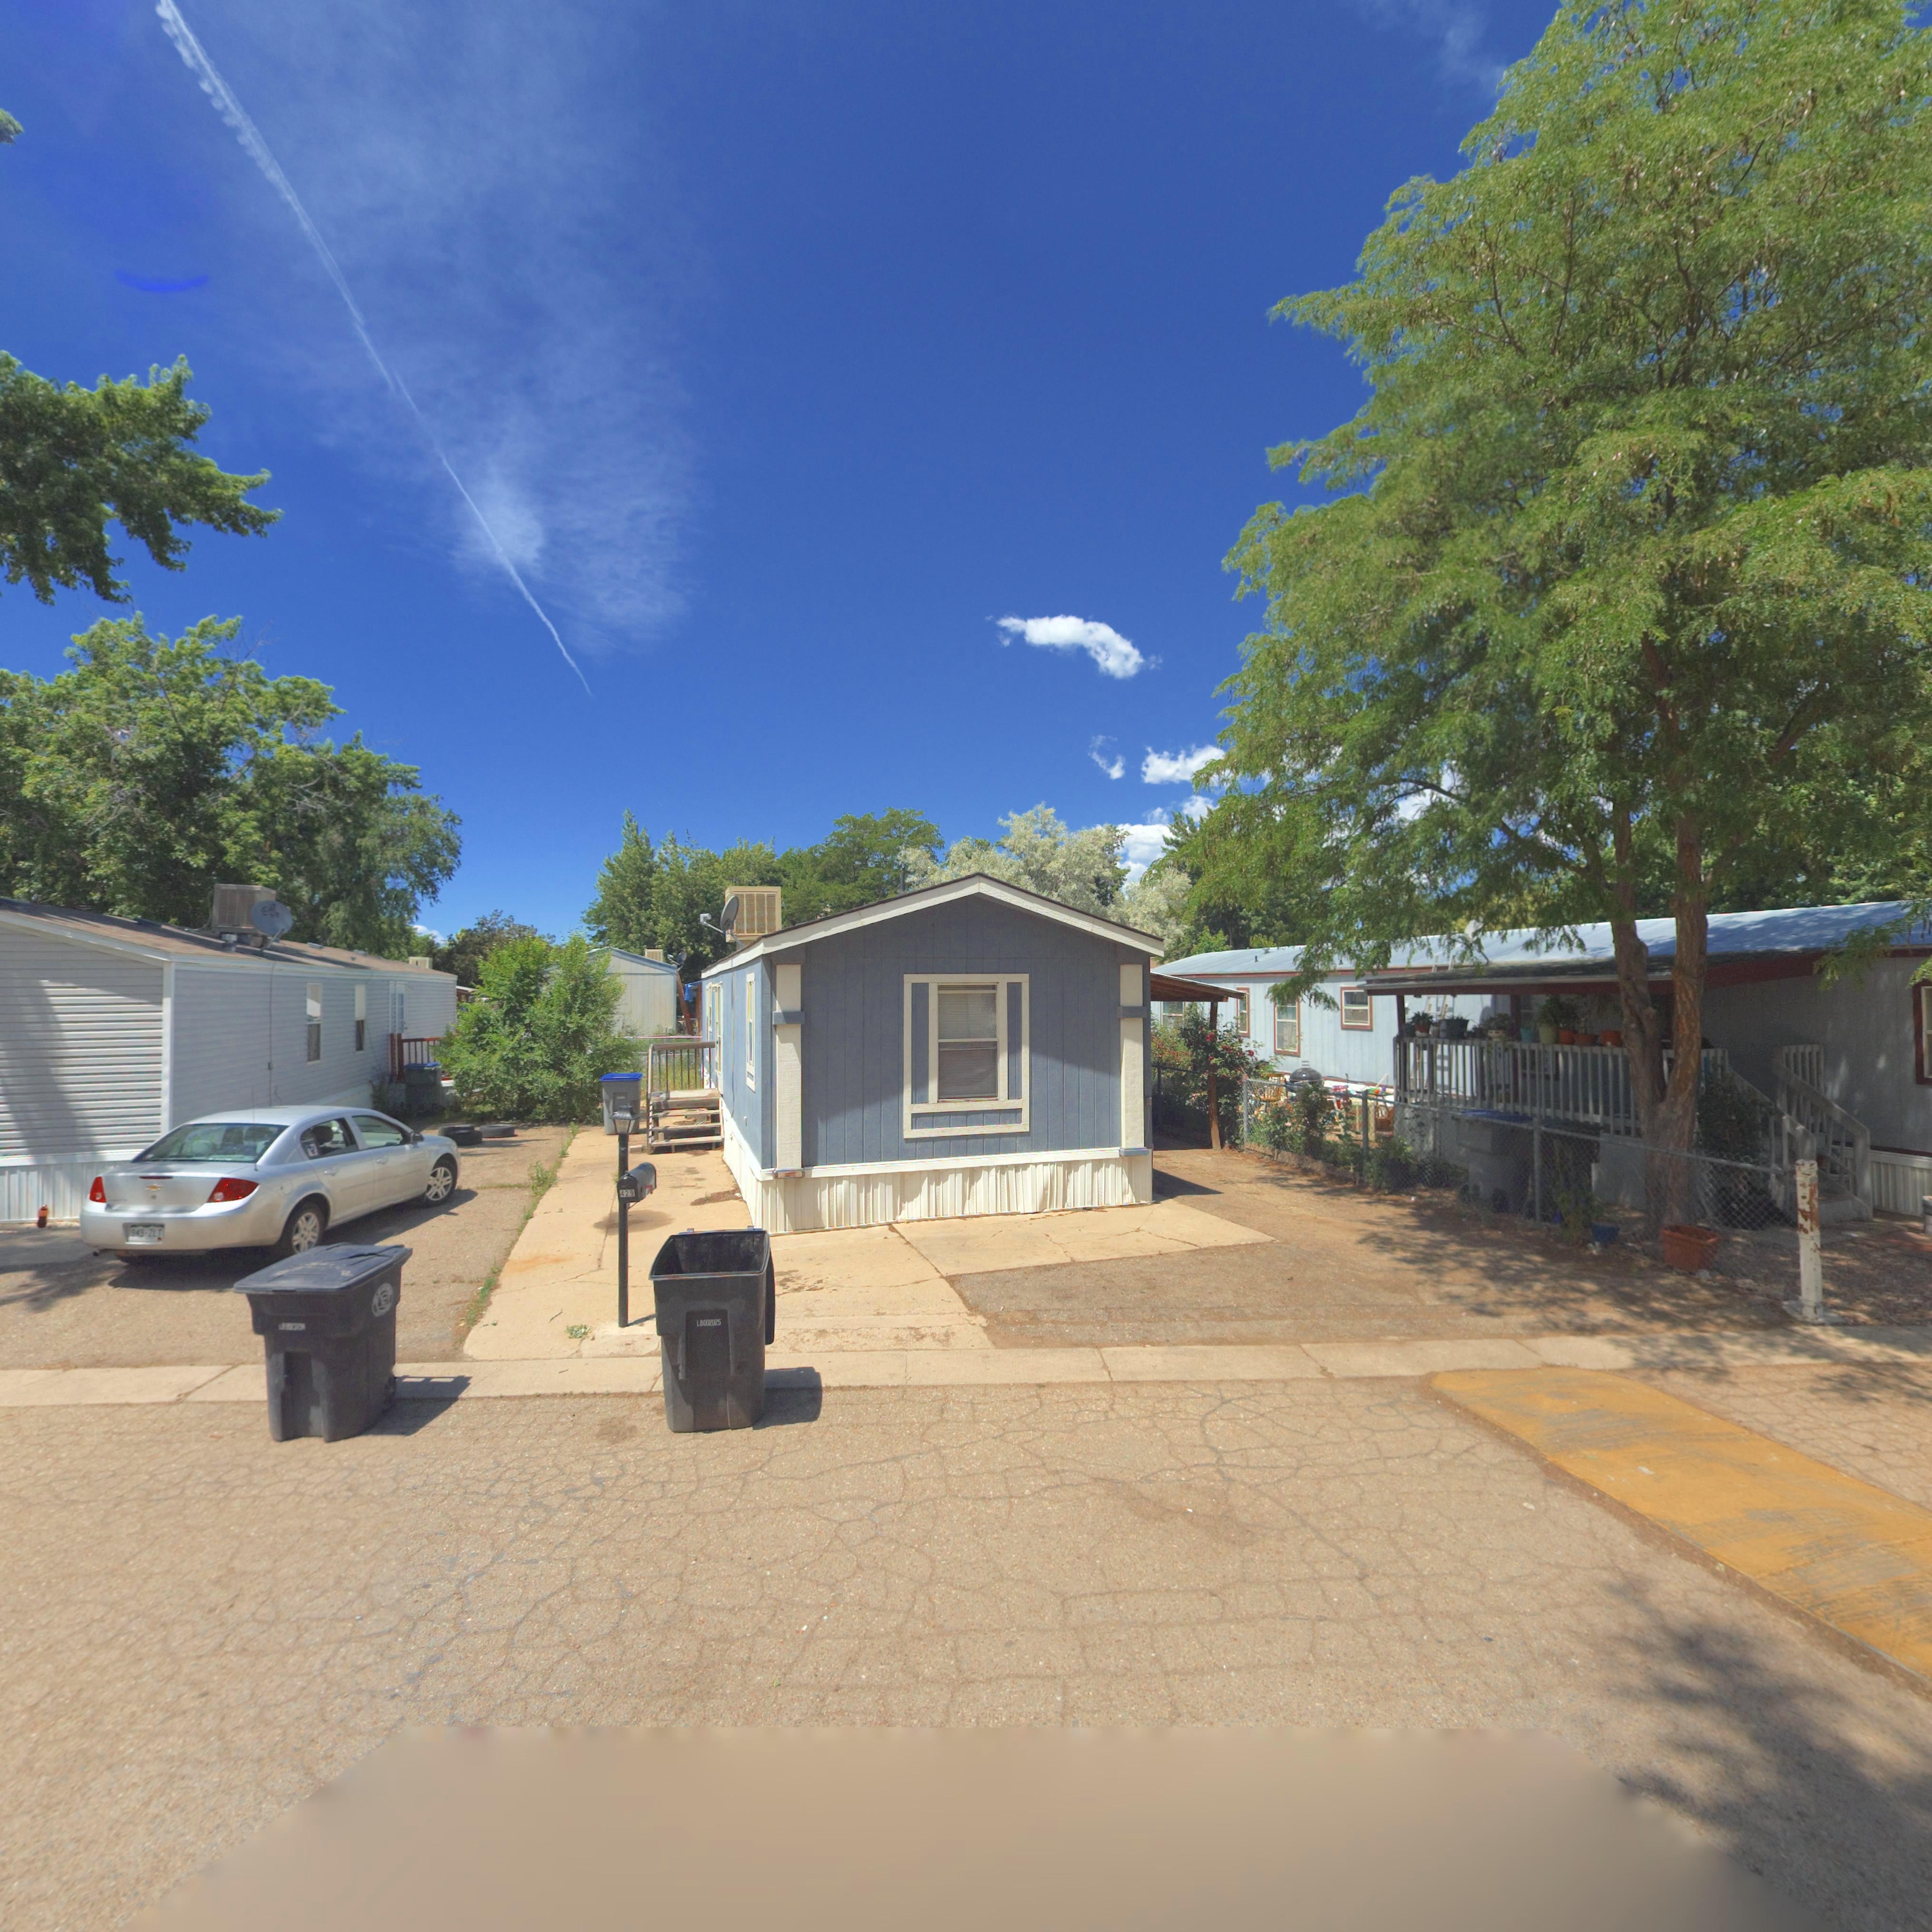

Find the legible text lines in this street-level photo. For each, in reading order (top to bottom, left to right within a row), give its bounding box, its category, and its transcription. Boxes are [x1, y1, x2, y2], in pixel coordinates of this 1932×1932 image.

[621, 1189, 634, 1197] StreetNumber: 429